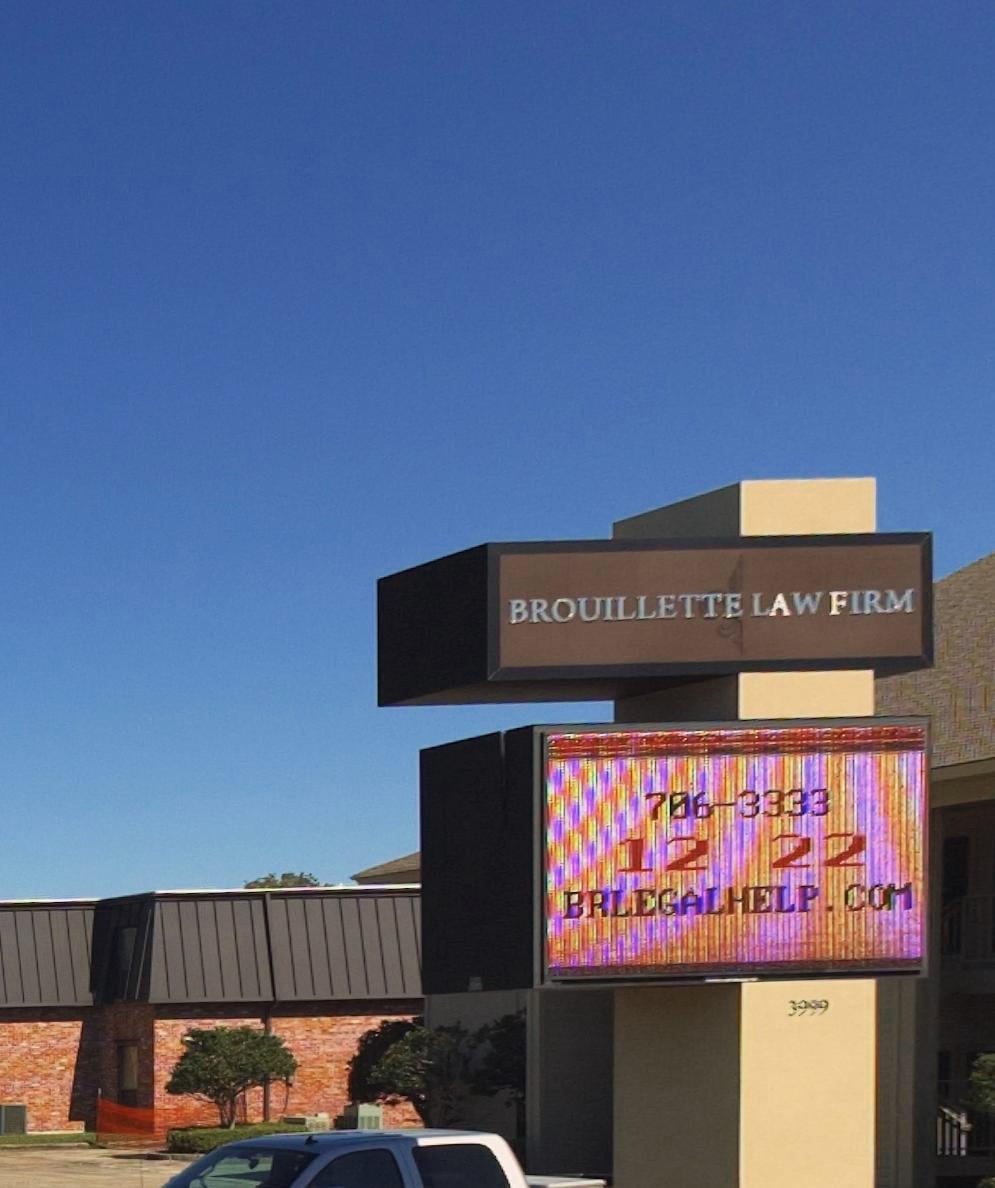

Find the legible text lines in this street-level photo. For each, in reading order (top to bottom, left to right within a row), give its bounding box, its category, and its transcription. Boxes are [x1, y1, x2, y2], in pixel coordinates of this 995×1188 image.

[505, 586, 917, 628] BusinessName: BROUILLETTE LAW FIRM
[640, 783, 835, 823] None: 706-3333
[613, 827, 869, 877] None: 12 22
[559, 878, 918, 924] None: BRLEGALHELP.COM
[785, 996, 832, 1020] StreetNumber: 3999